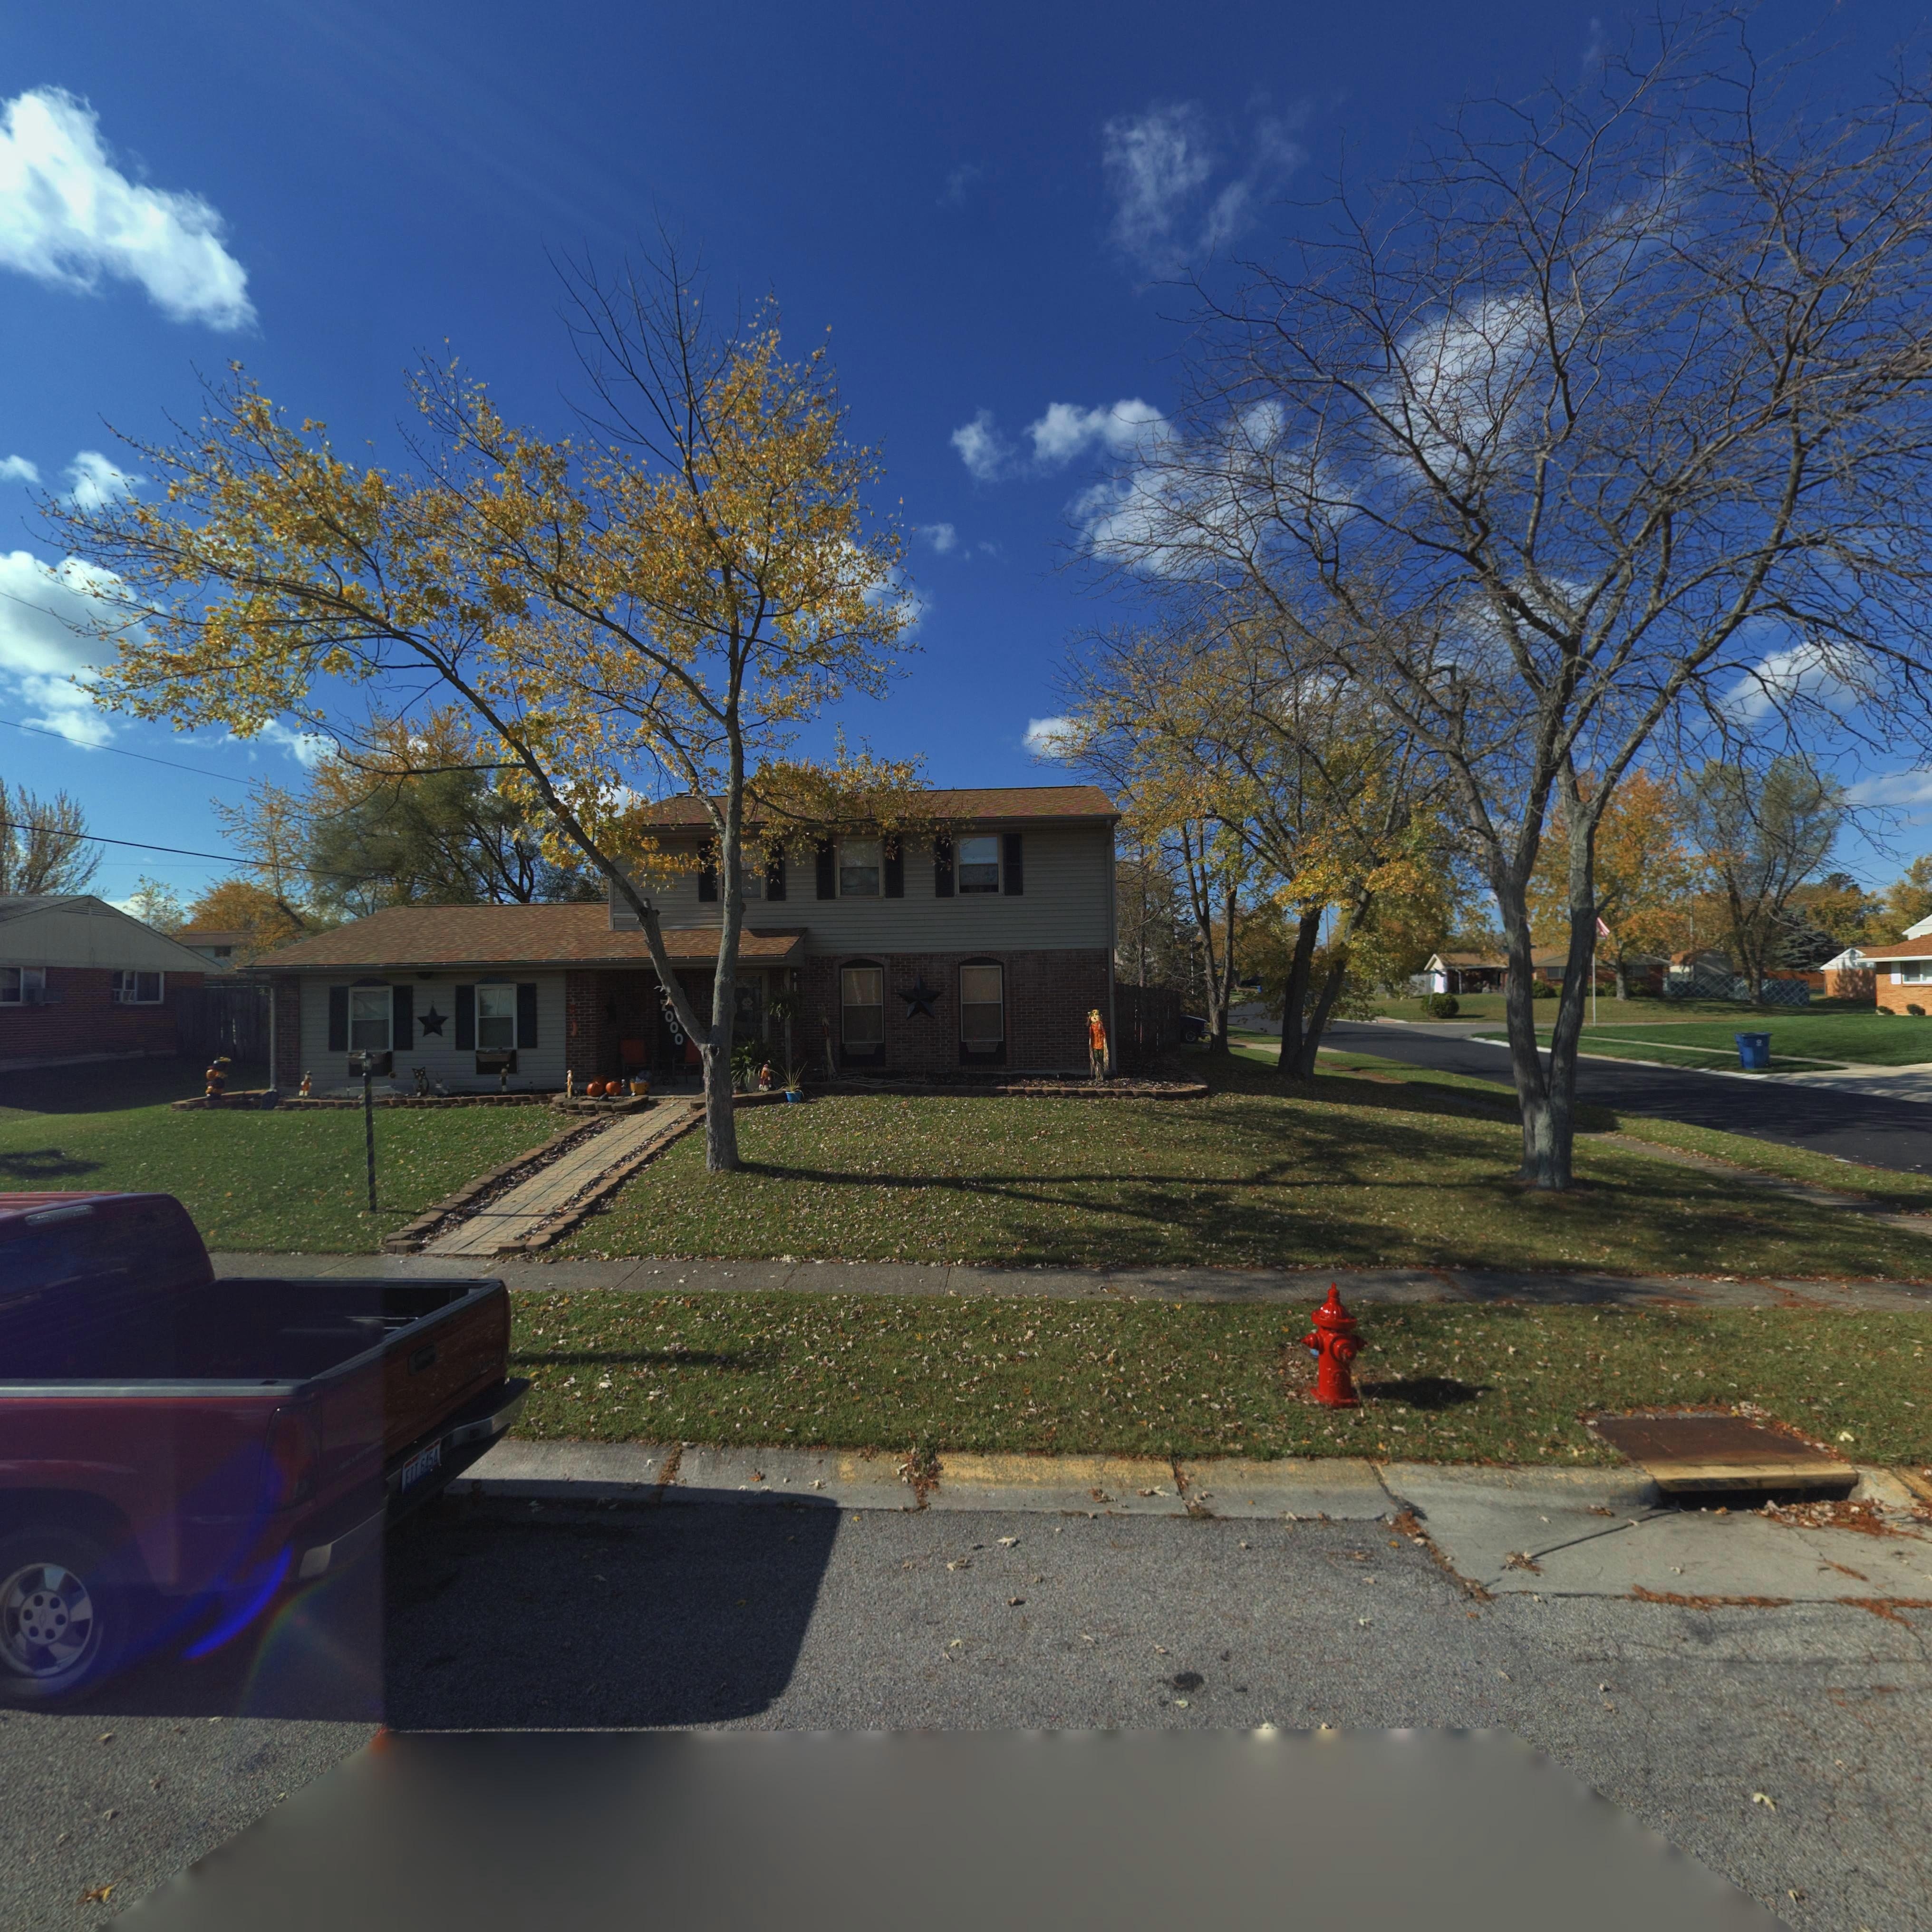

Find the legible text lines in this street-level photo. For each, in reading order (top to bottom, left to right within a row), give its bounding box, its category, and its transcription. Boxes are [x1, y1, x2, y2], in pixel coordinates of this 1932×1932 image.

[659, 998, 684, 1046] StreetNumber: 7000